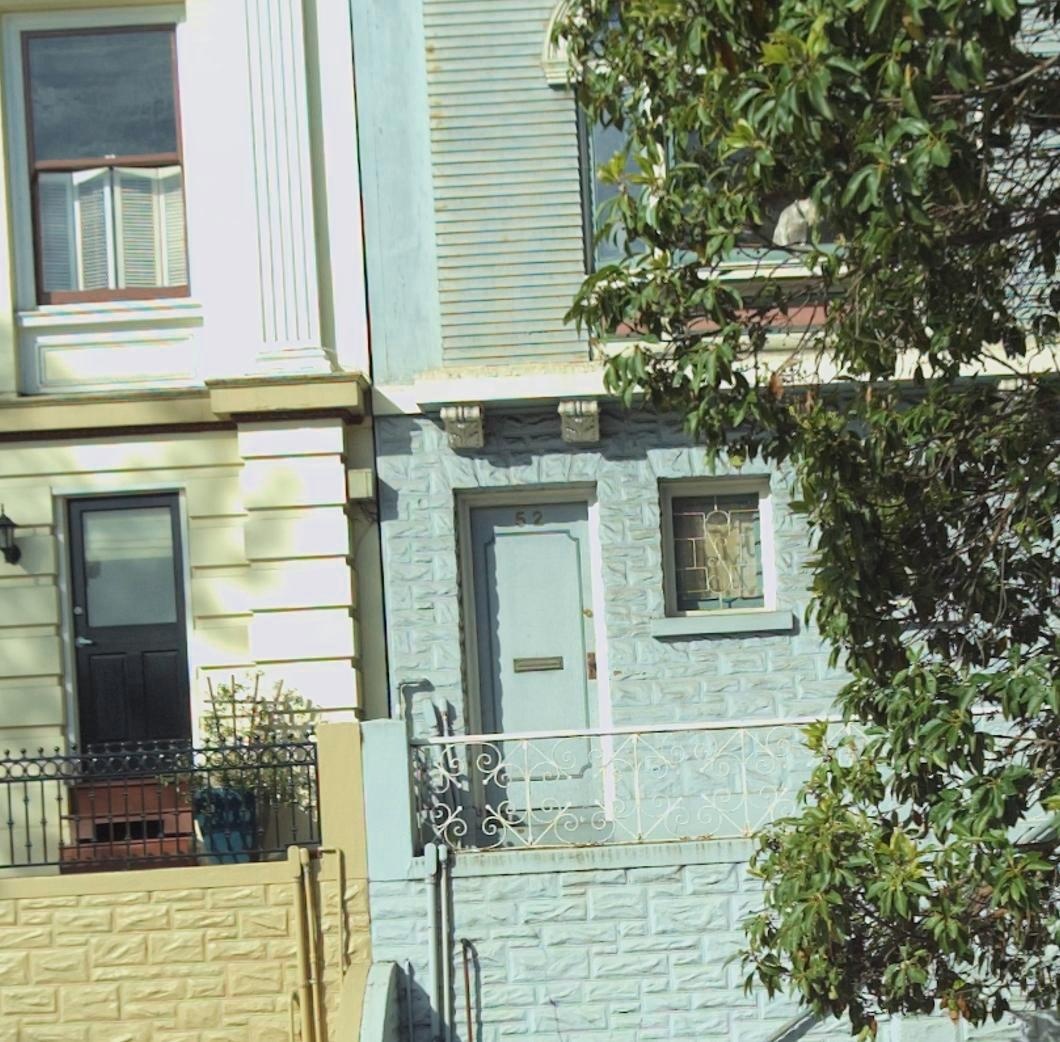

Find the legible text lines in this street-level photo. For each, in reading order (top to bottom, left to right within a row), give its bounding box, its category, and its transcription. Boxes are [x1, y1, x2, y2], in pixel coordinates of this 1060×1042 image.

[513, 509, 546, 529] StreetNumber: 52